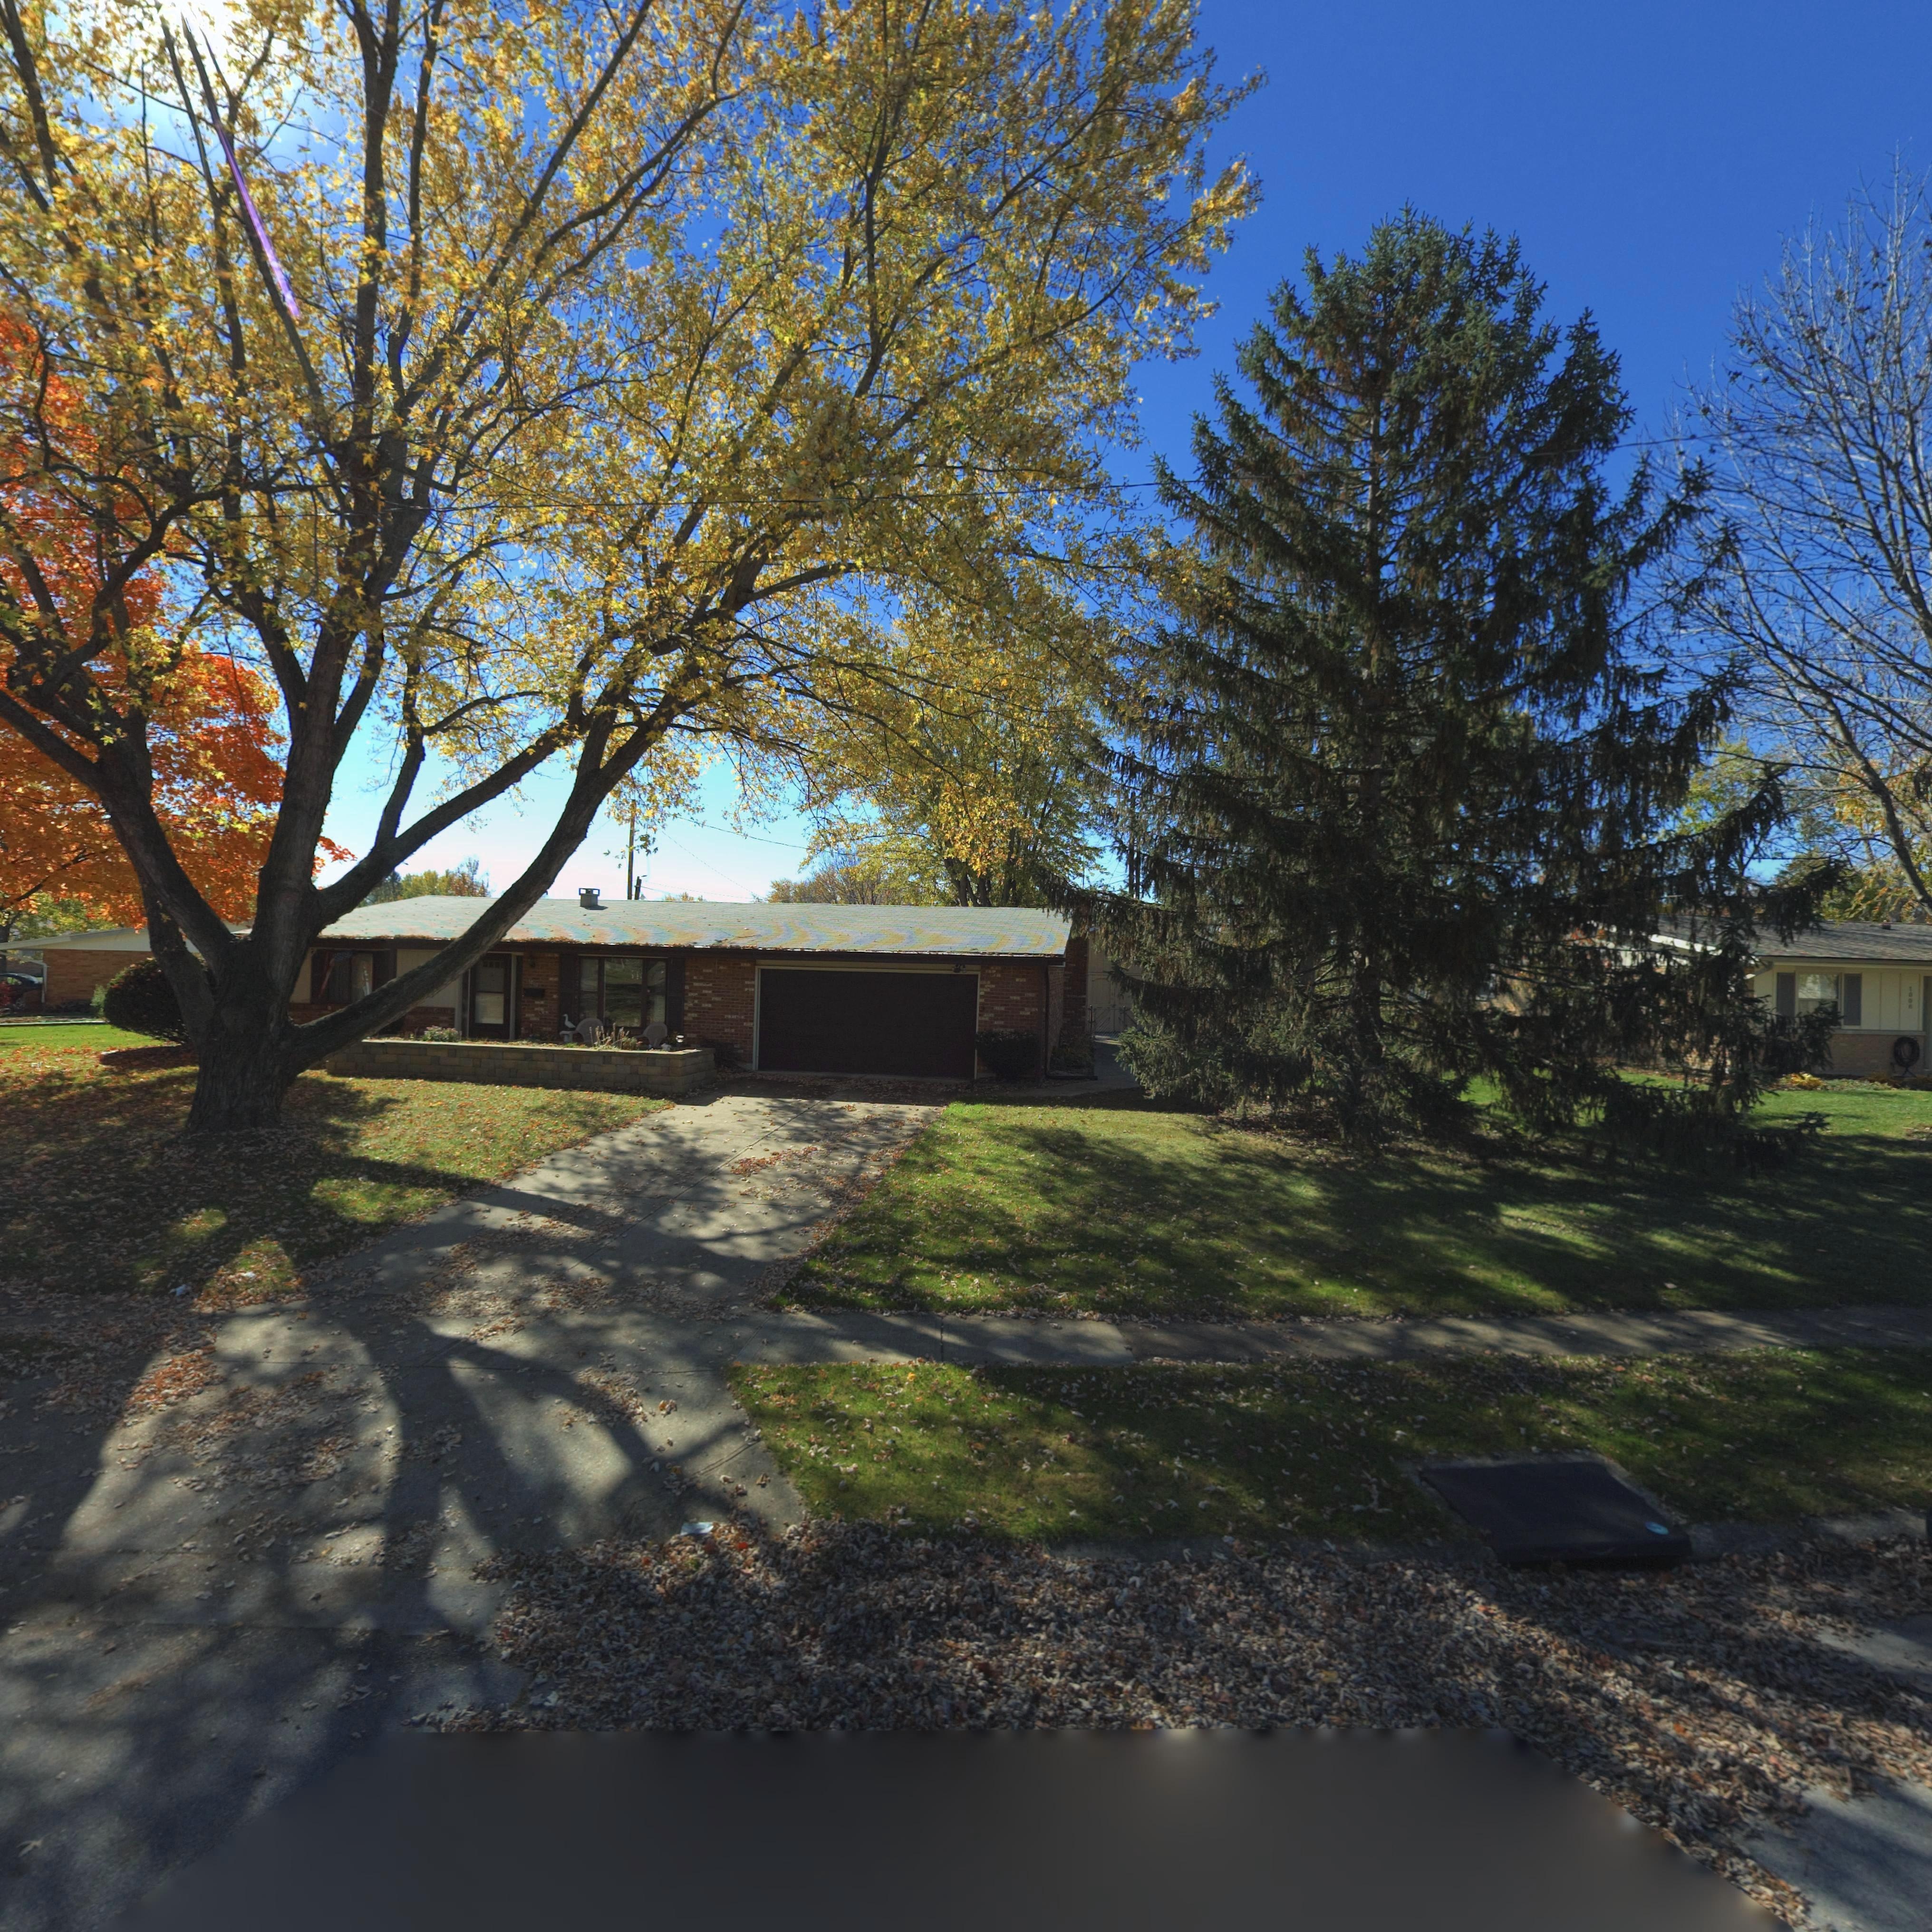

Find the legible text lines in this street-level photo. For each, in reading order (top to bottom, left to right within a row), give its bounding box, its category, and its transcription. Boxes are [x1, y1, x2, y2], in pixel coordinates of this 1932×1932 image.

[528, 978, 539, 988] StreetNumber: 1010